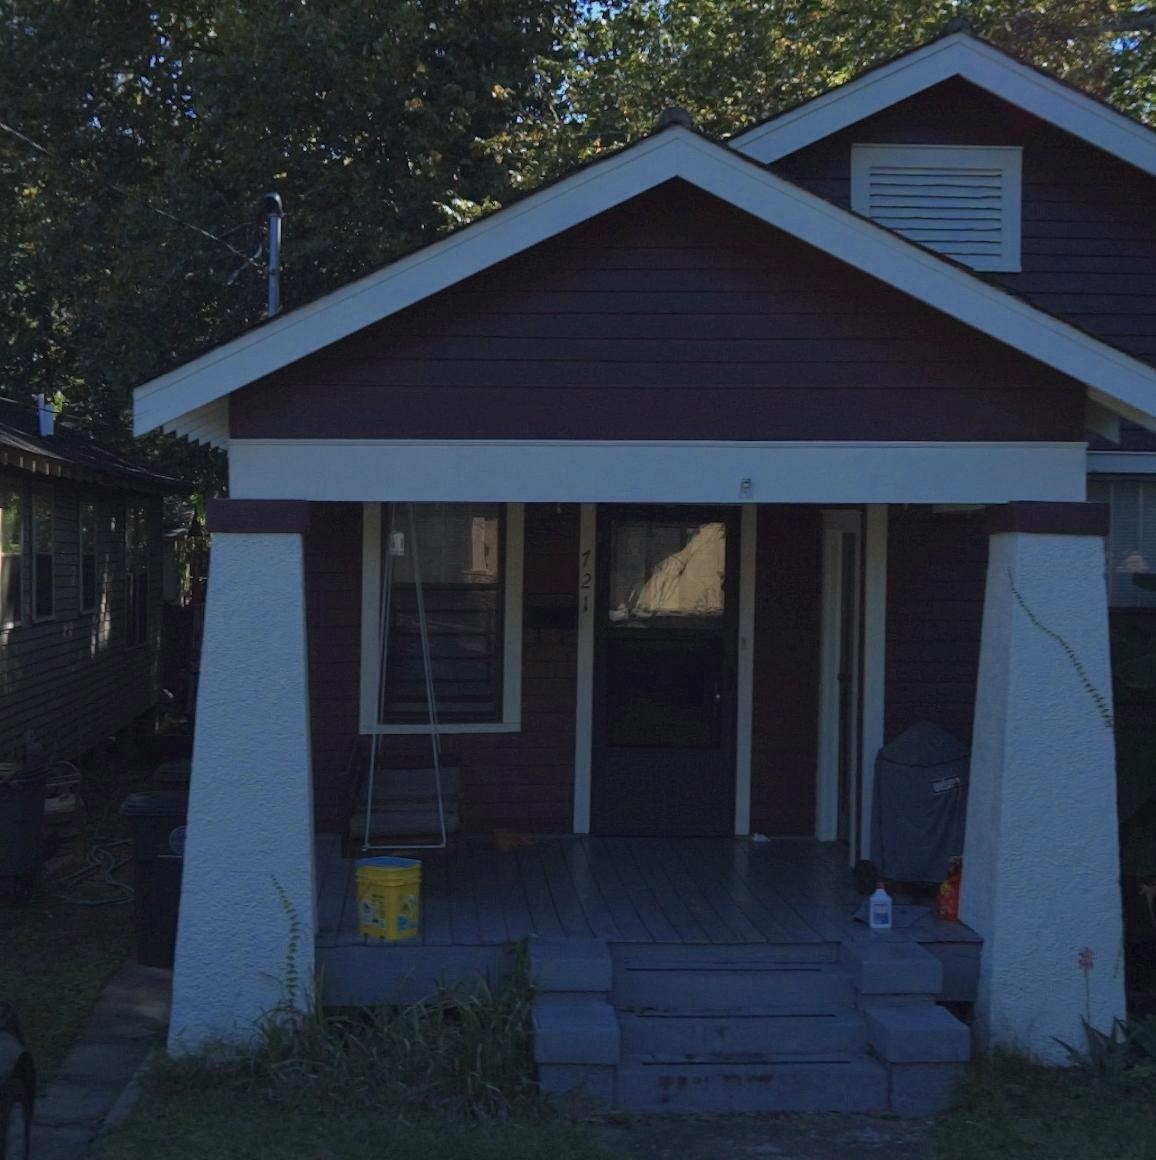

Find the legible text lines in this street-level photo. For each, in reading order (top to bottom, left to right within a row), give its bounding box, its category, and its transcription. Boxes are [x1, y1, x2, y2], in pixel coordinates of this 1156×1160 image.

[579, 547, 594, 616] StreetNumber: 721